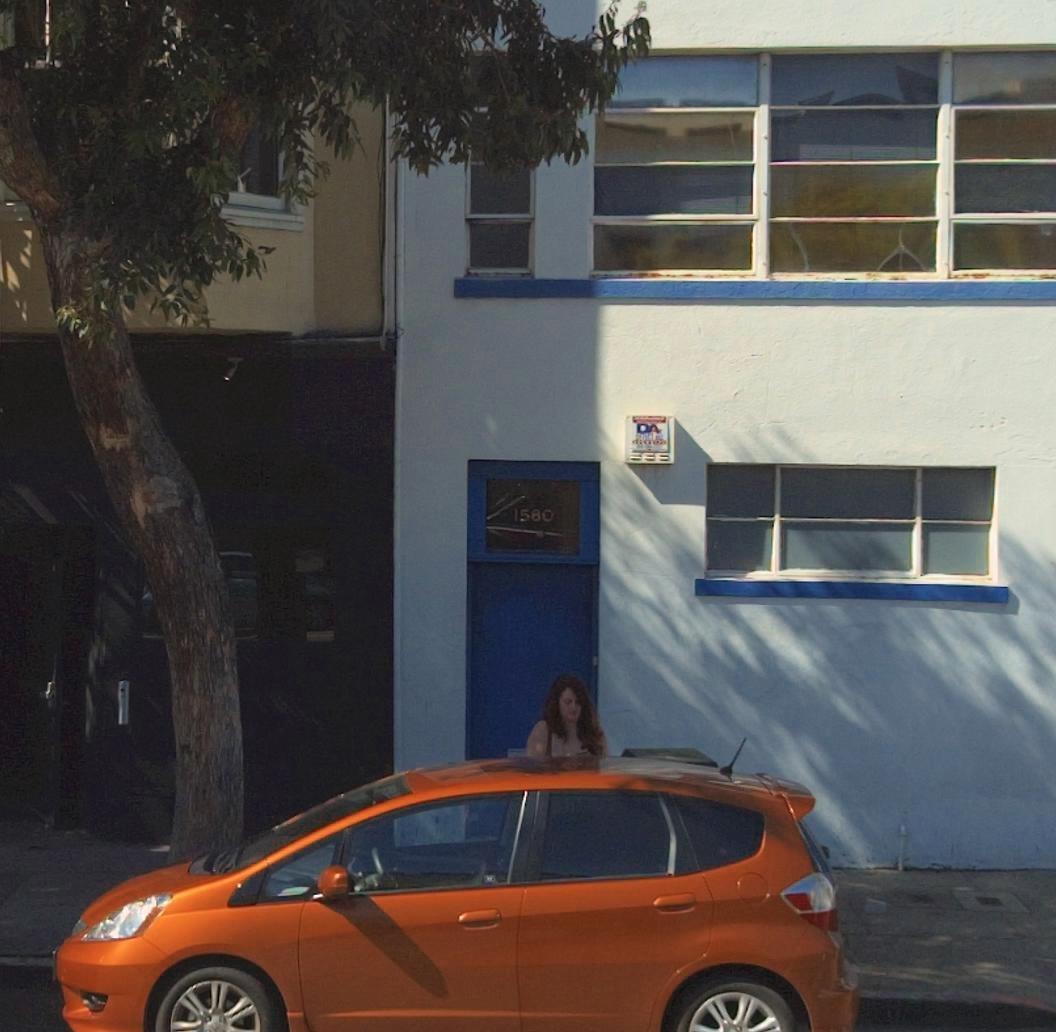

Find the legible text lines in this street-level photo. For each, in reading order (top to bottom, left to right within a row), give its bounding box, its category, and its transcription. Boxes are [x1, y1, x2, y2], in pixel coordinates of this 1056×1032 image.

[634, 421, 665, 436] None: DA
[511, 506, 557, 525] StreetNumber: 1580